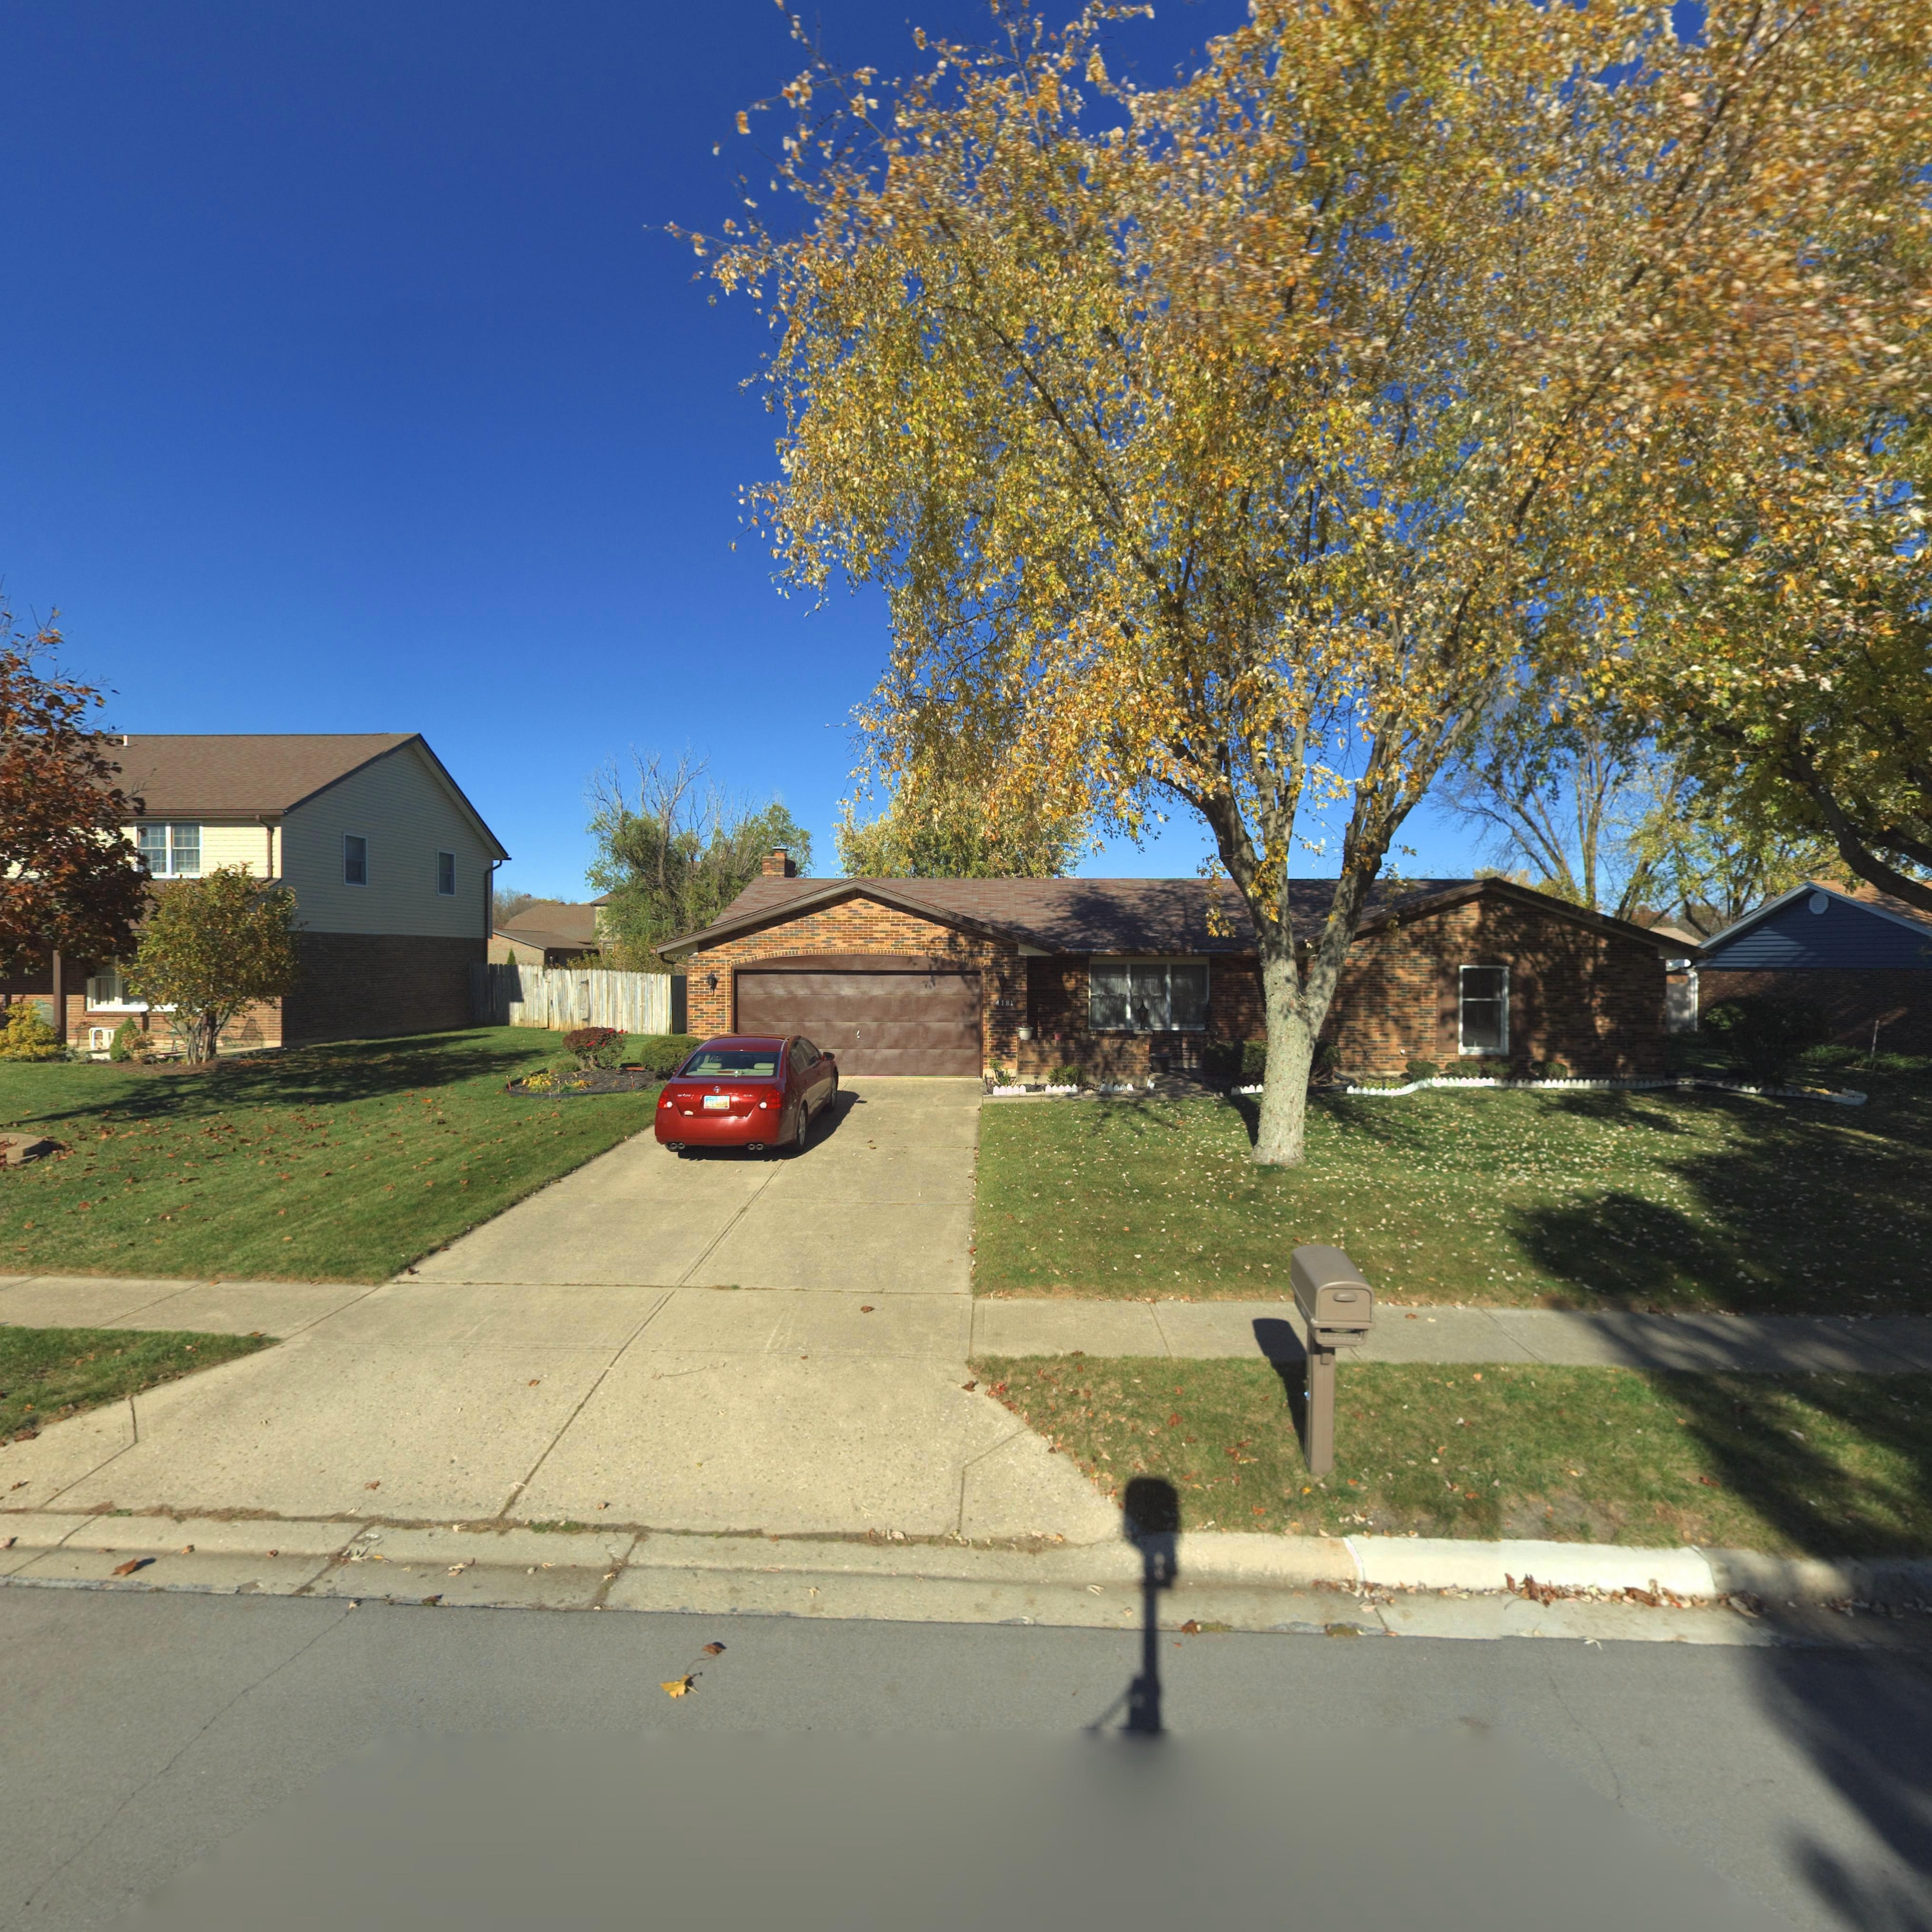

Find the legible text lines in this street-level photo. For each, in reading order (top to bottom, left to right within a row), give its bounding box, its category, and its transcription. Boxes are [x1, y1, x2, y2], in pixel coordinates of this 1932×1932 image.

[995, 999, 1014, 1007] StreetNumber: 4181
[705, 1098, 715, 1106] None: ETU